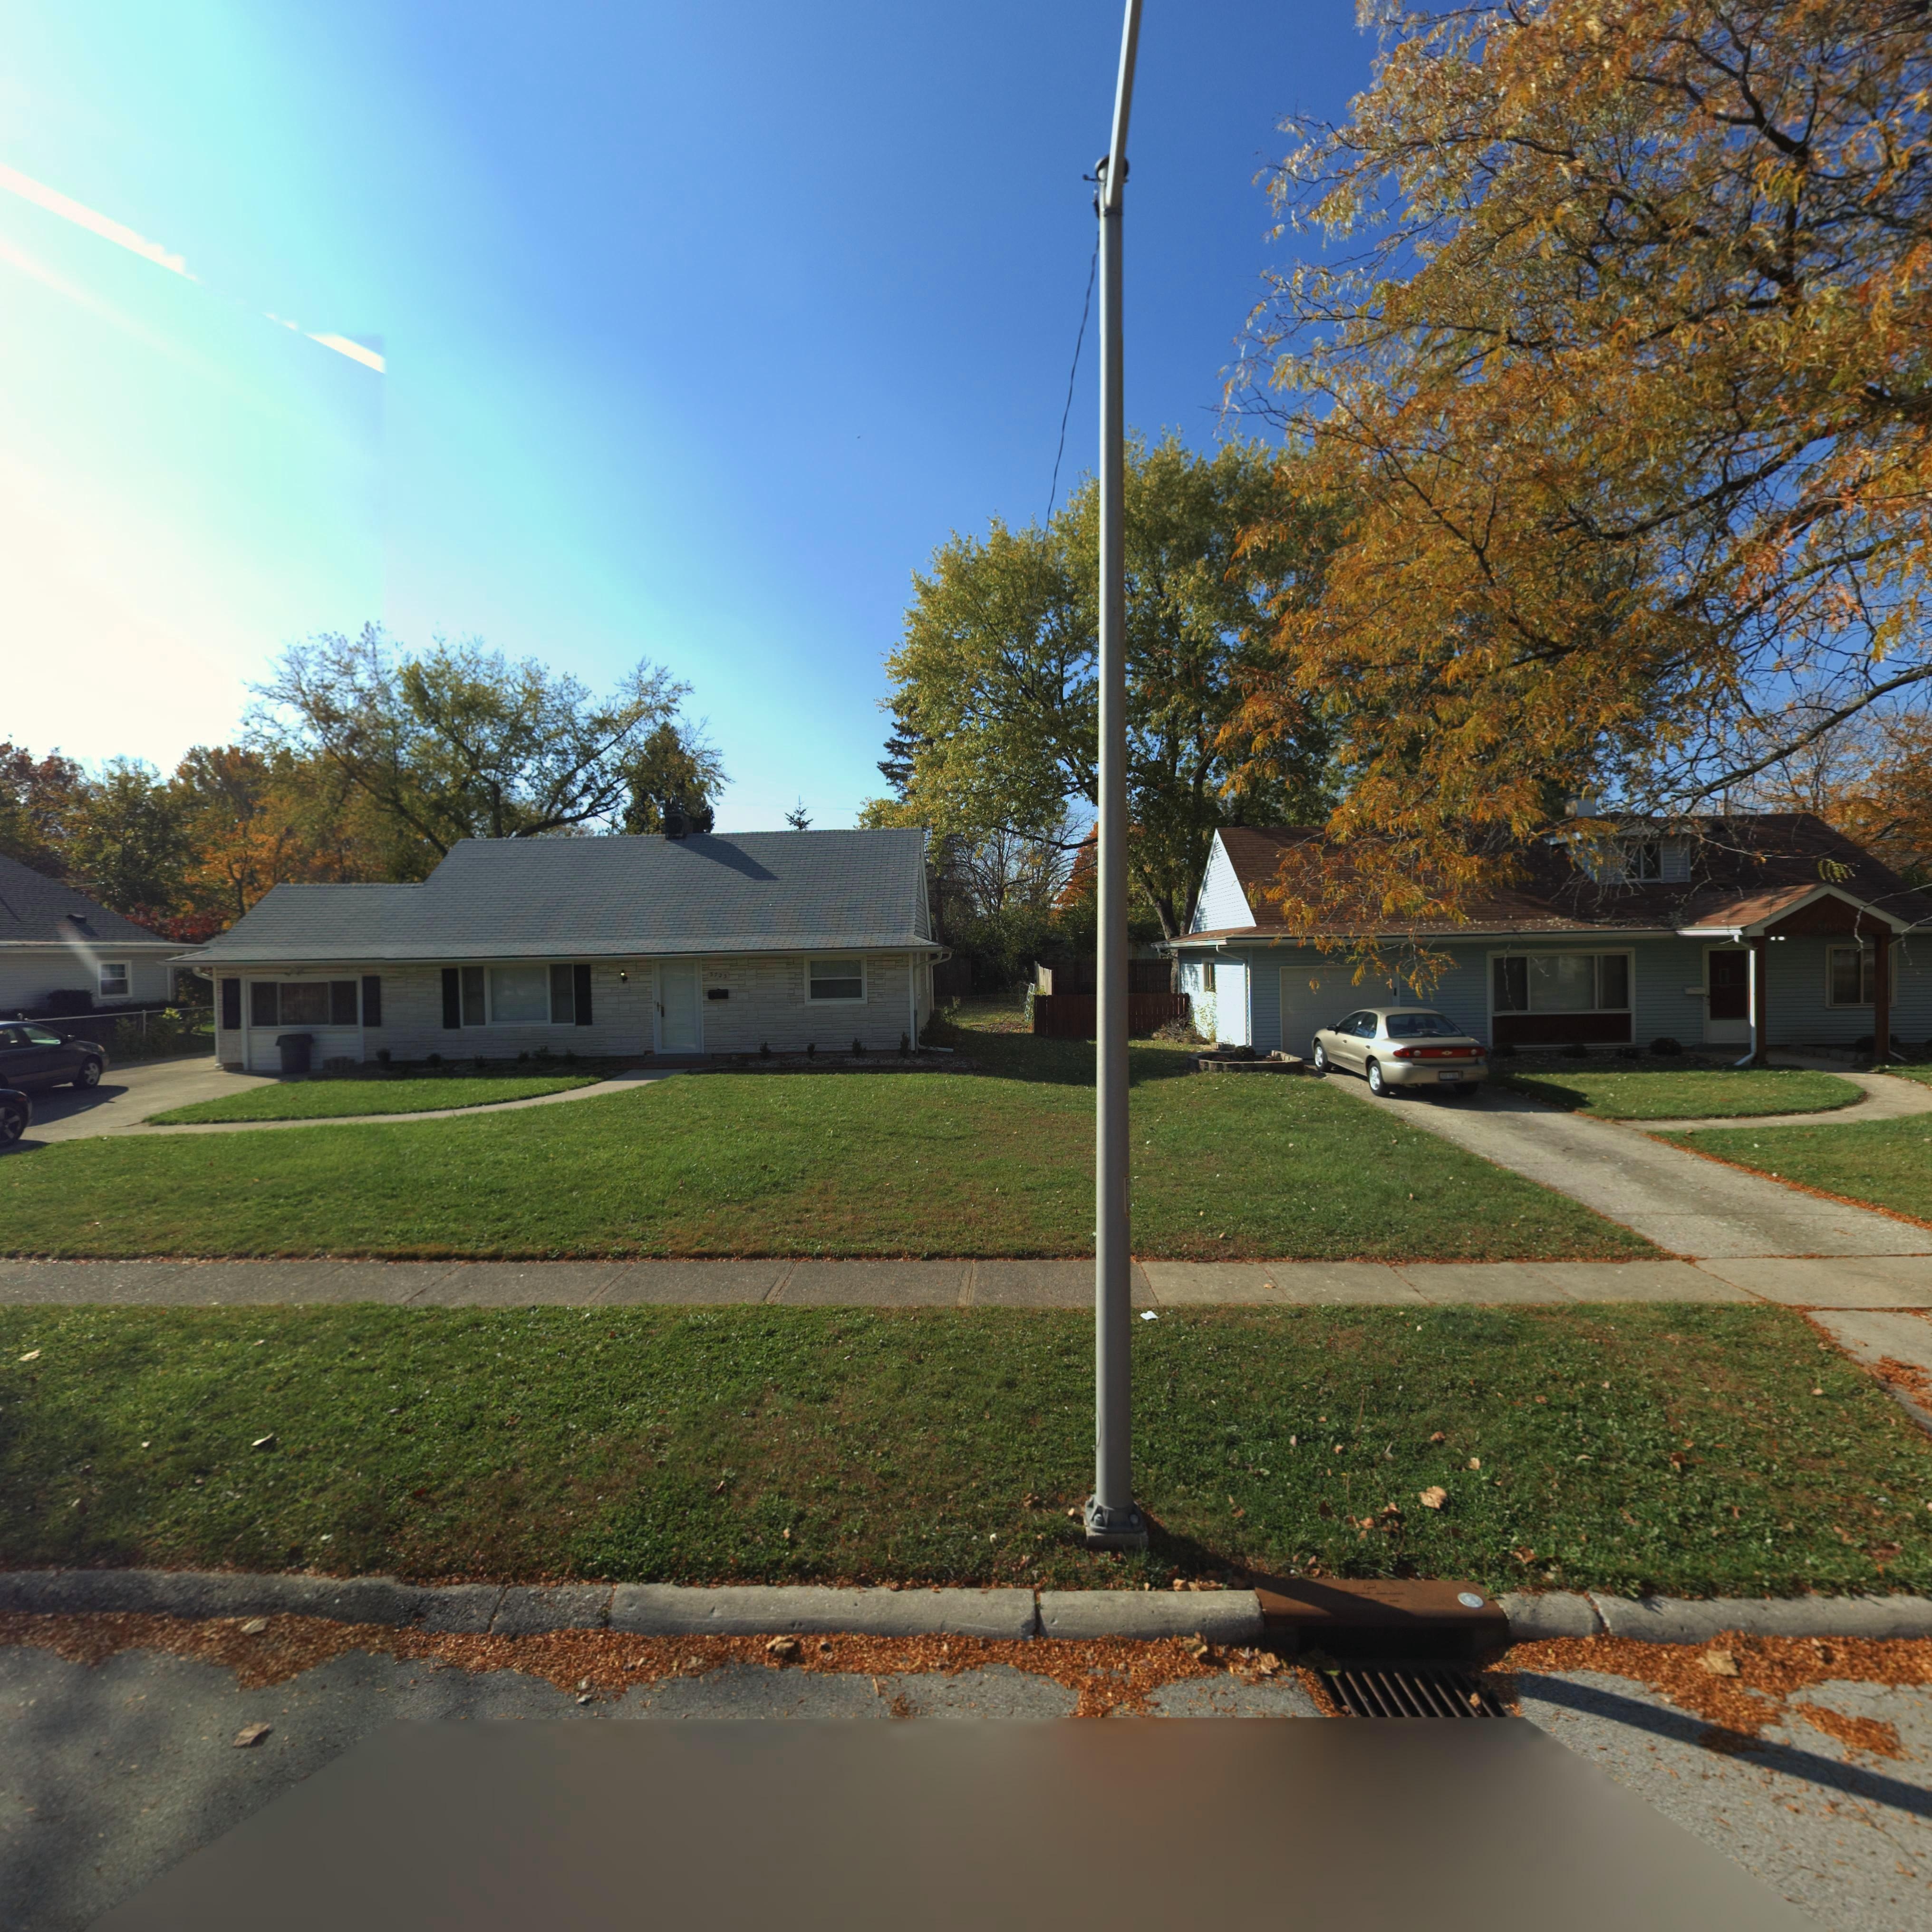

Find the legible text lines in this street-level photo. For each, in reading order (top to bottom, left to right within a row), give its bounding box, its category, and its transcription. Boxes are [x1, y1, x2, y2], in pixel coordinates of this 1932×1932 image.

[1815, 923, 1839, 932] StreetNumber: 3*17
[709, 972, 727, 979] StreetNumber: 3723